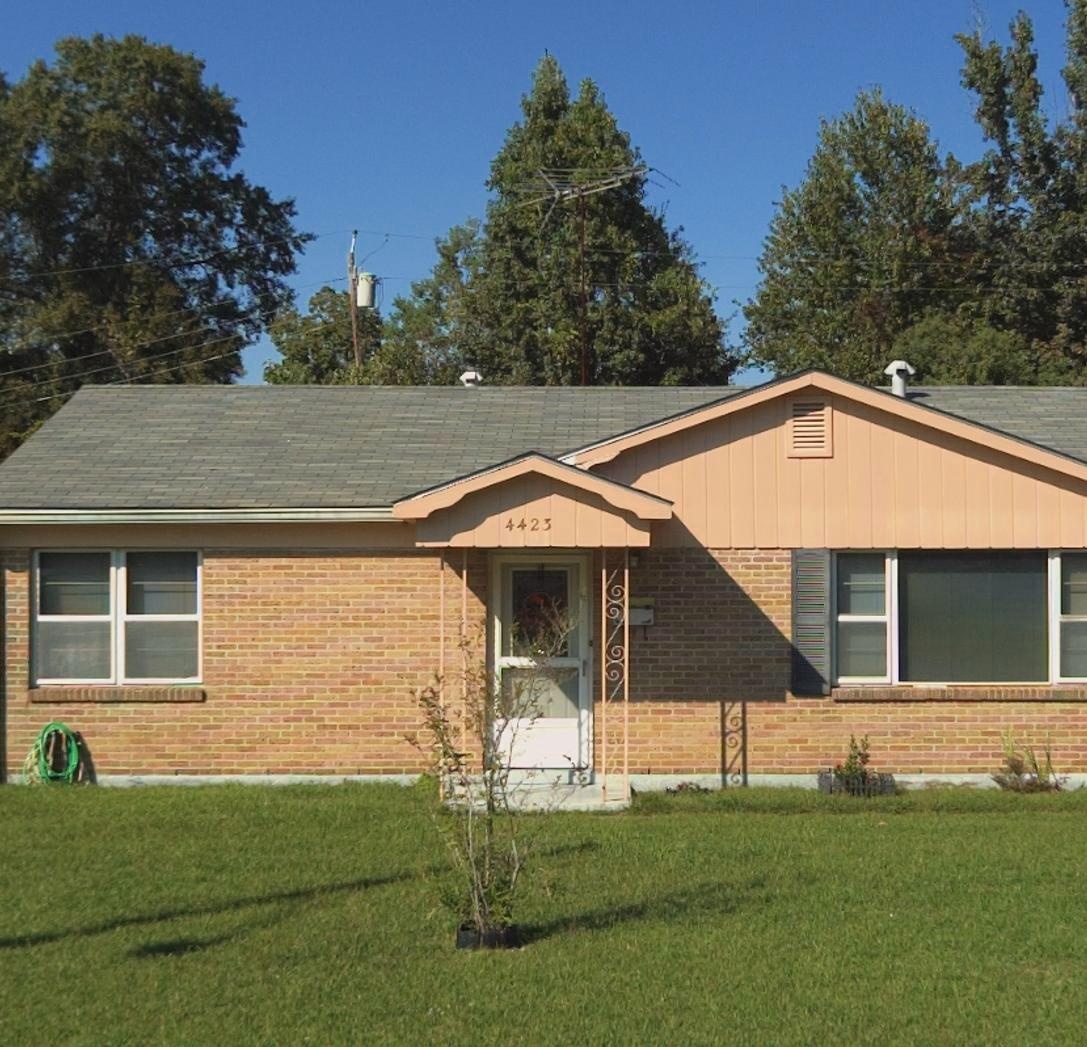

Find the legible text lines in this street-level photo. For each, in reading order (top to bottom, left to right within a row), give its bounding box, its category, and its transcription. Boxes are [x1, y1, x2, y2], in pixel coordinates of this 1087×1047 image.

[505, 516, 552, 532] StreetNumber: 4423